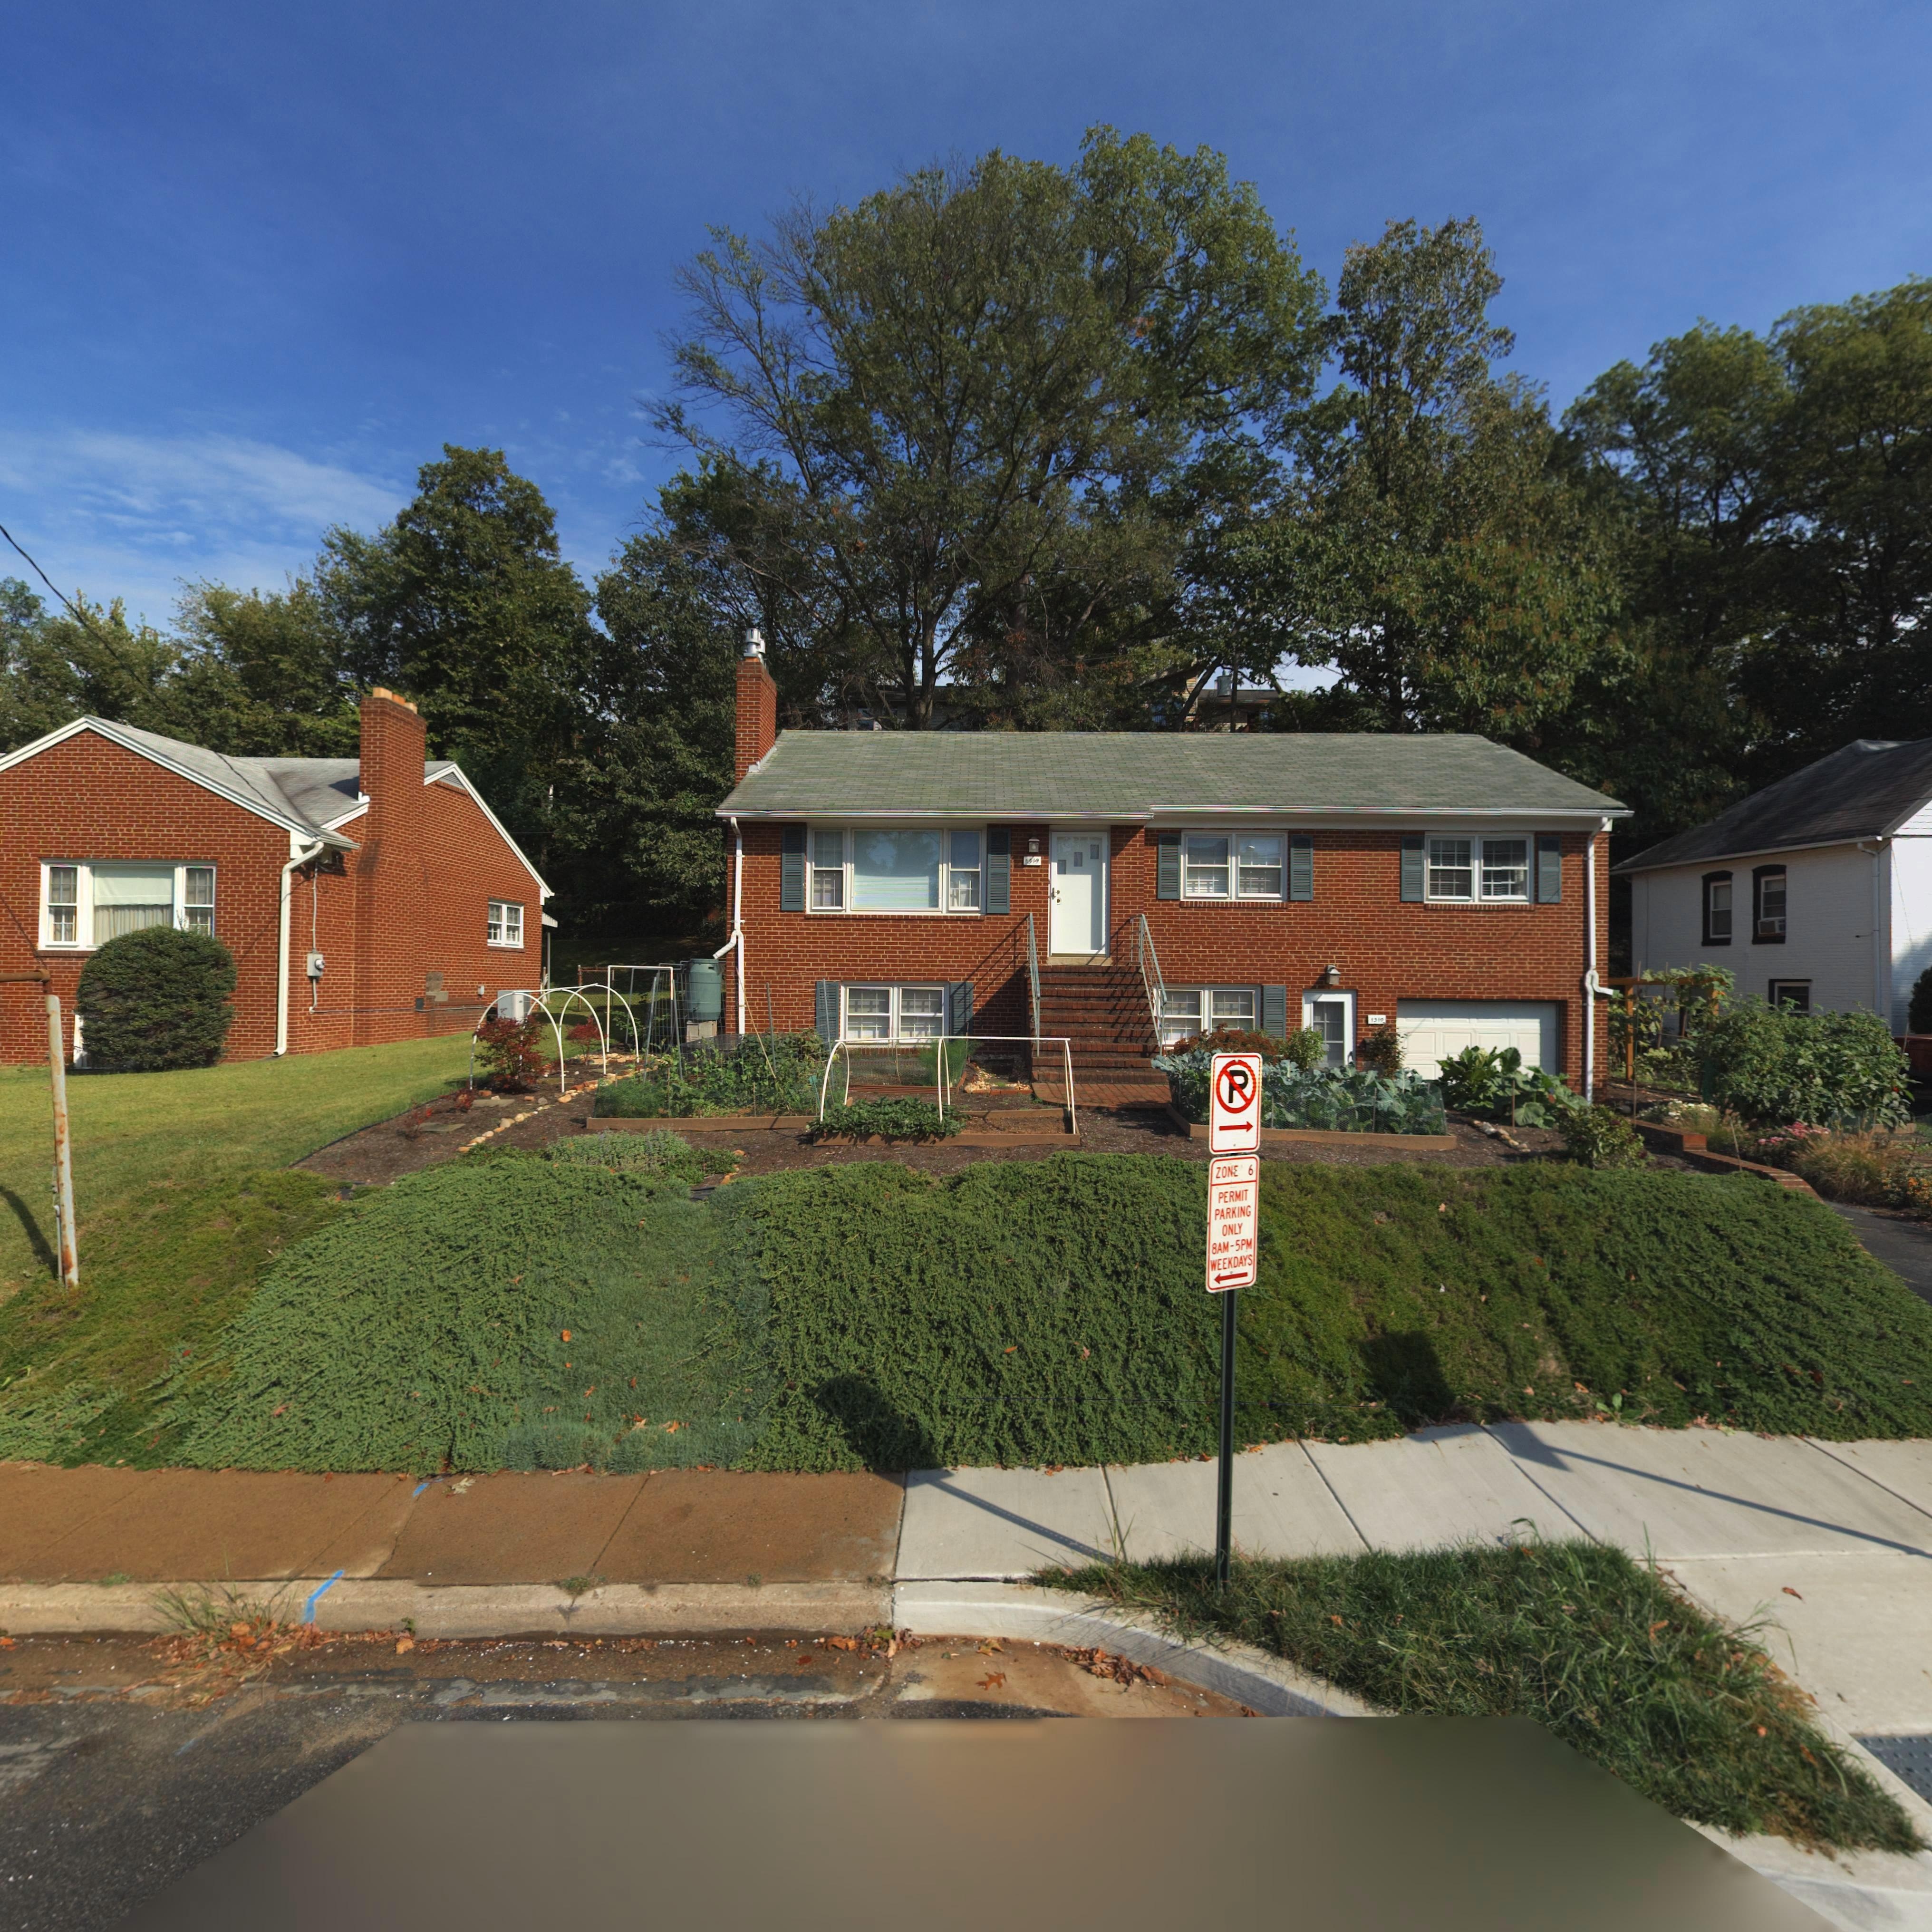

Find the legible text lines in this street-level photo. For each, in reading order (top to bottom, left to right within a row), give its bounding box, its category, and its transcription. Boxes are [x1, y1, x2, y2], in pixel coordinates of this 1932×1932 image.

[1025, 857, 1039, 863] StreetNumber: 1*19
[1371, 1017, 1383, 1022] StreetNumber: 1319
[1215, 1164, 1254, 1179] None: ZONE 6
[1218, 1188, 1249, 1204] None: PERMIT
[1214, 1205, 1251, 1221] None: PARKING
[1221, 1222, 1243, 1237] None: ONLY
[1211, 1237, 1252, 1255] None: 8AM-5PM
[1210, 1254, 1253, 1271] None: WEEKDAYS